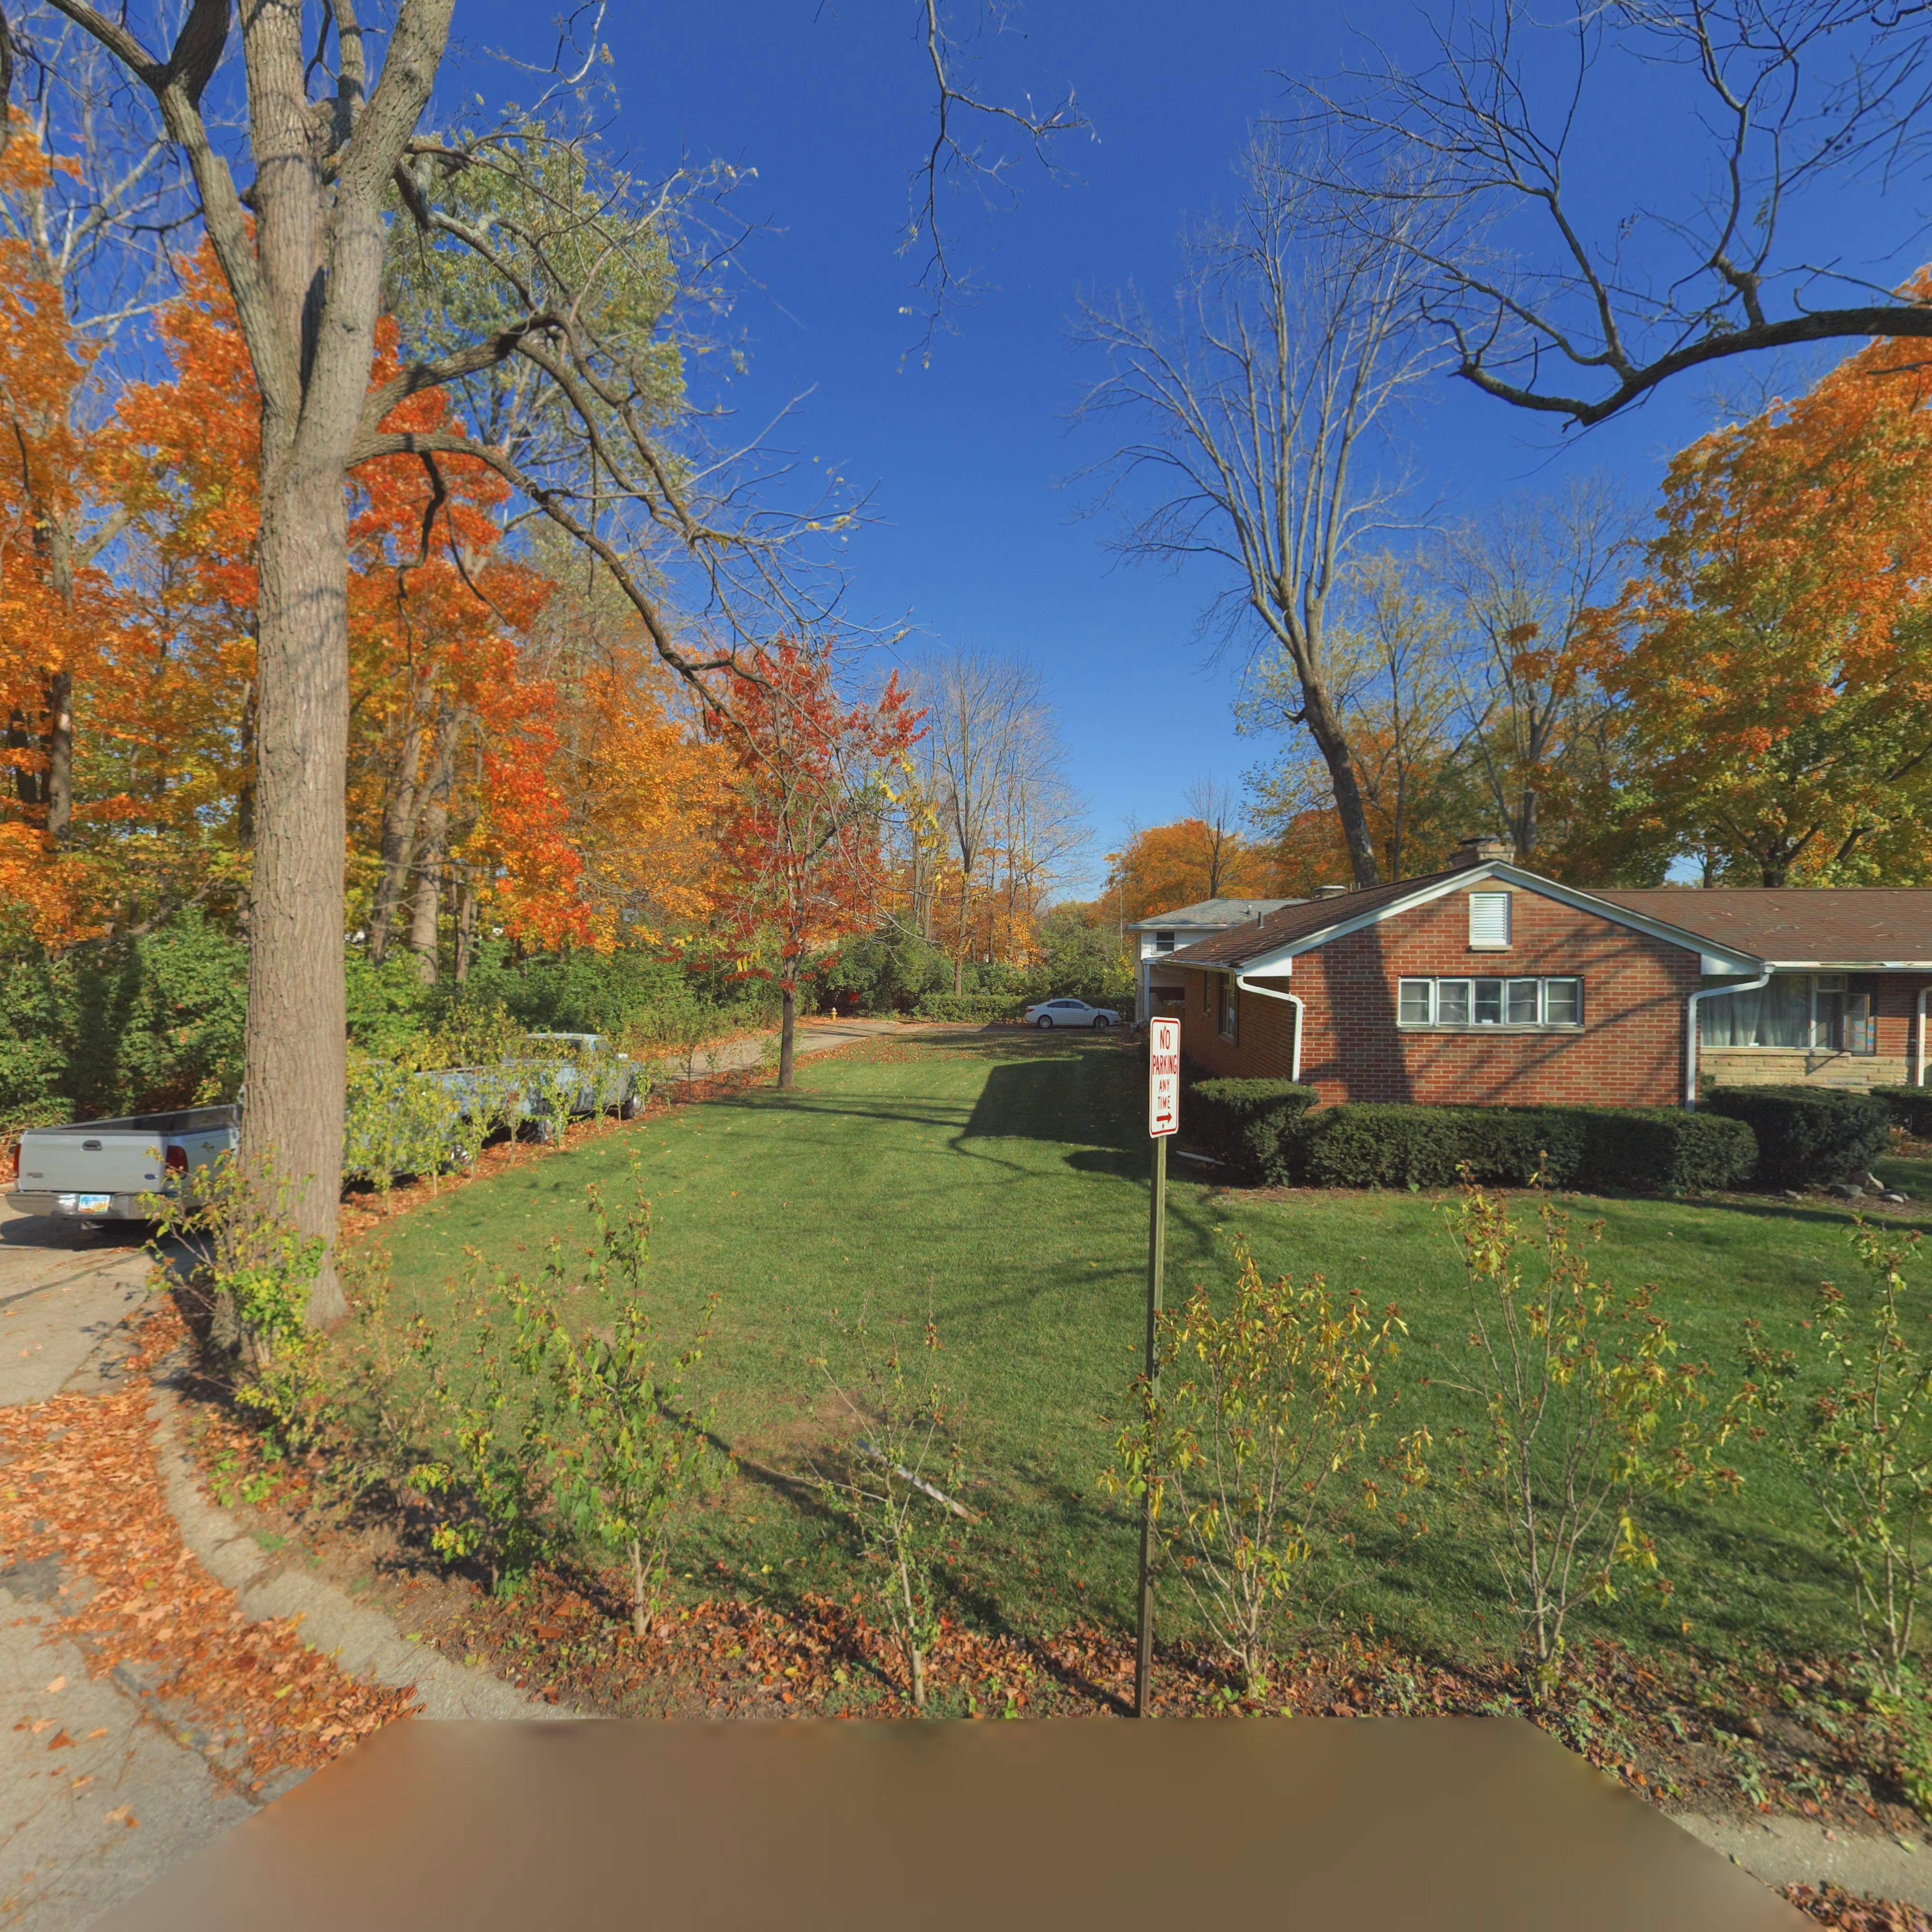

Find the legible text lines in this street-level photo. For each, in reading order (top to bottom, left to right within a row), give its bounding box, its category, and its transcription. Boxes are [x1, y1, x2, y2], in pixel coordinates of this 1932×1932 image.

[1159, 1029, 1170, 1050] None: NO
[1152, 1054, 1178, 1076] None: PARKING
[1158, 1078, 1171, 1093] None: ANY
[1157, 1095, 1171, 1111] None: TIME